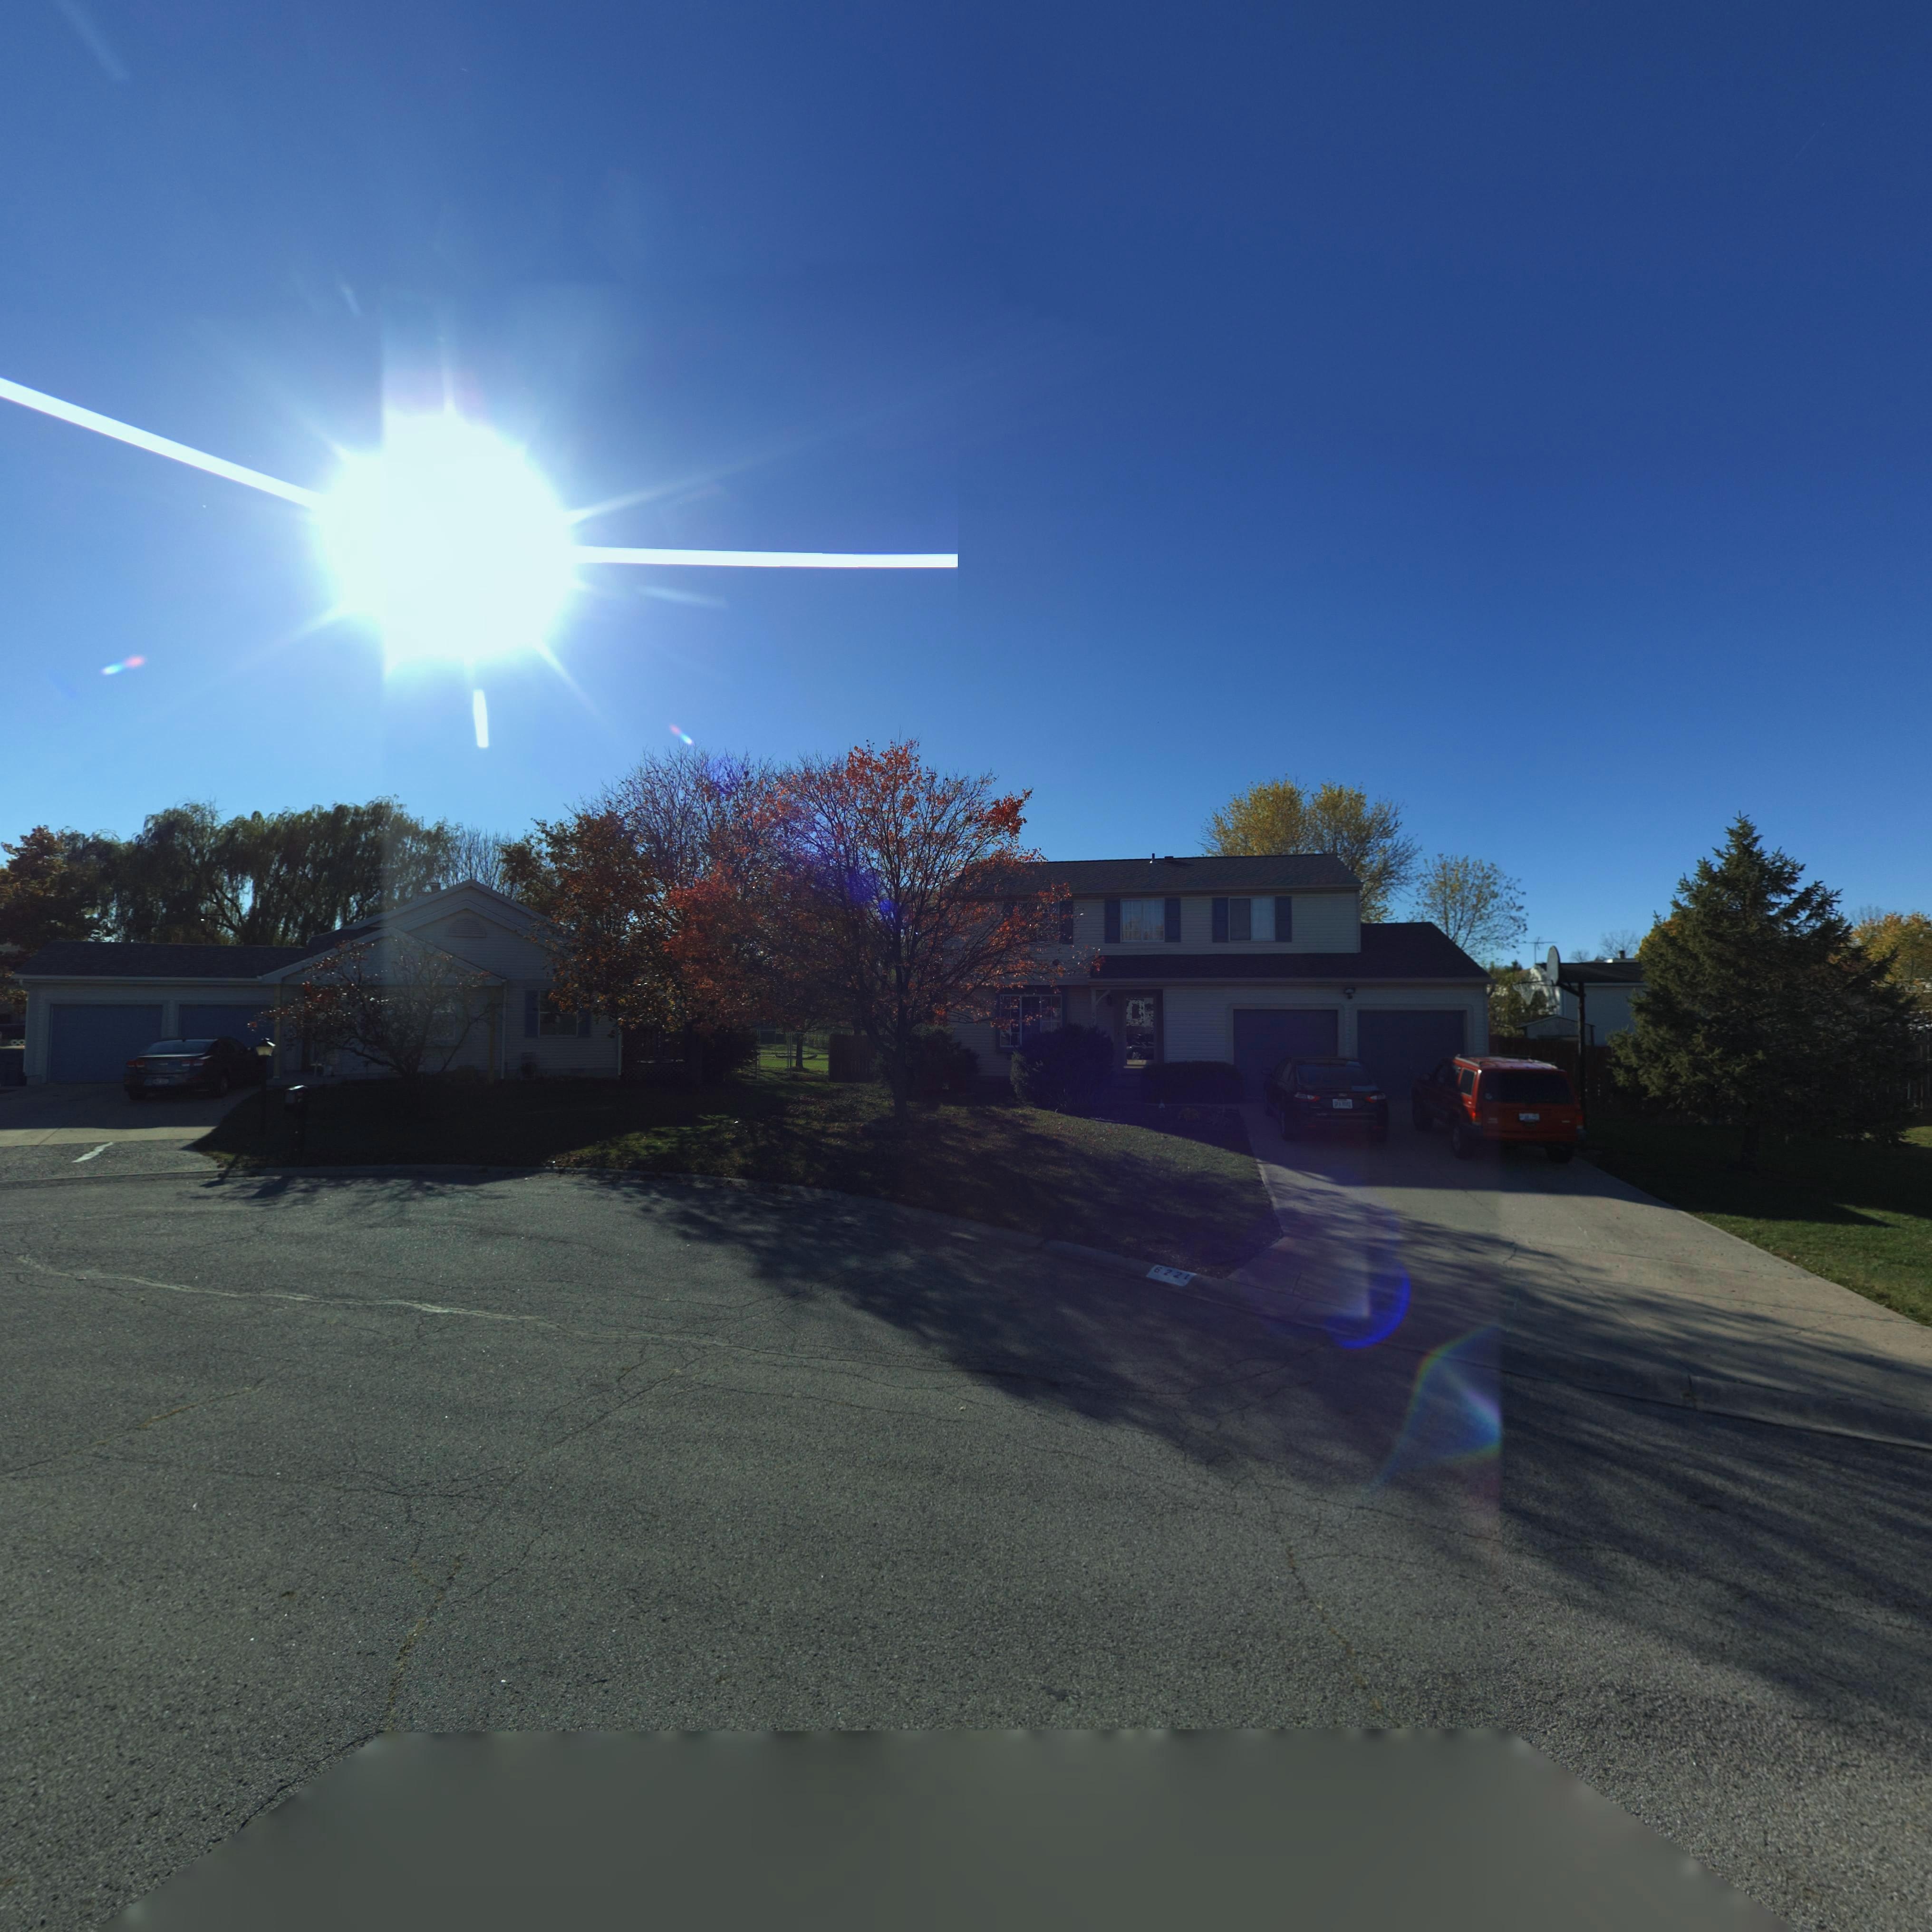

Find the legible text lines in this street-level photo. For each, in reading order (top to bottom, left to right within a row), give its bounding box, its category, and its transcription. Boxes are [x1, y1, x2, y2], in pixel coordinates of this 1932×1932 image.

[1152, 1265, 1192, 1281] StreetNumber: 6221